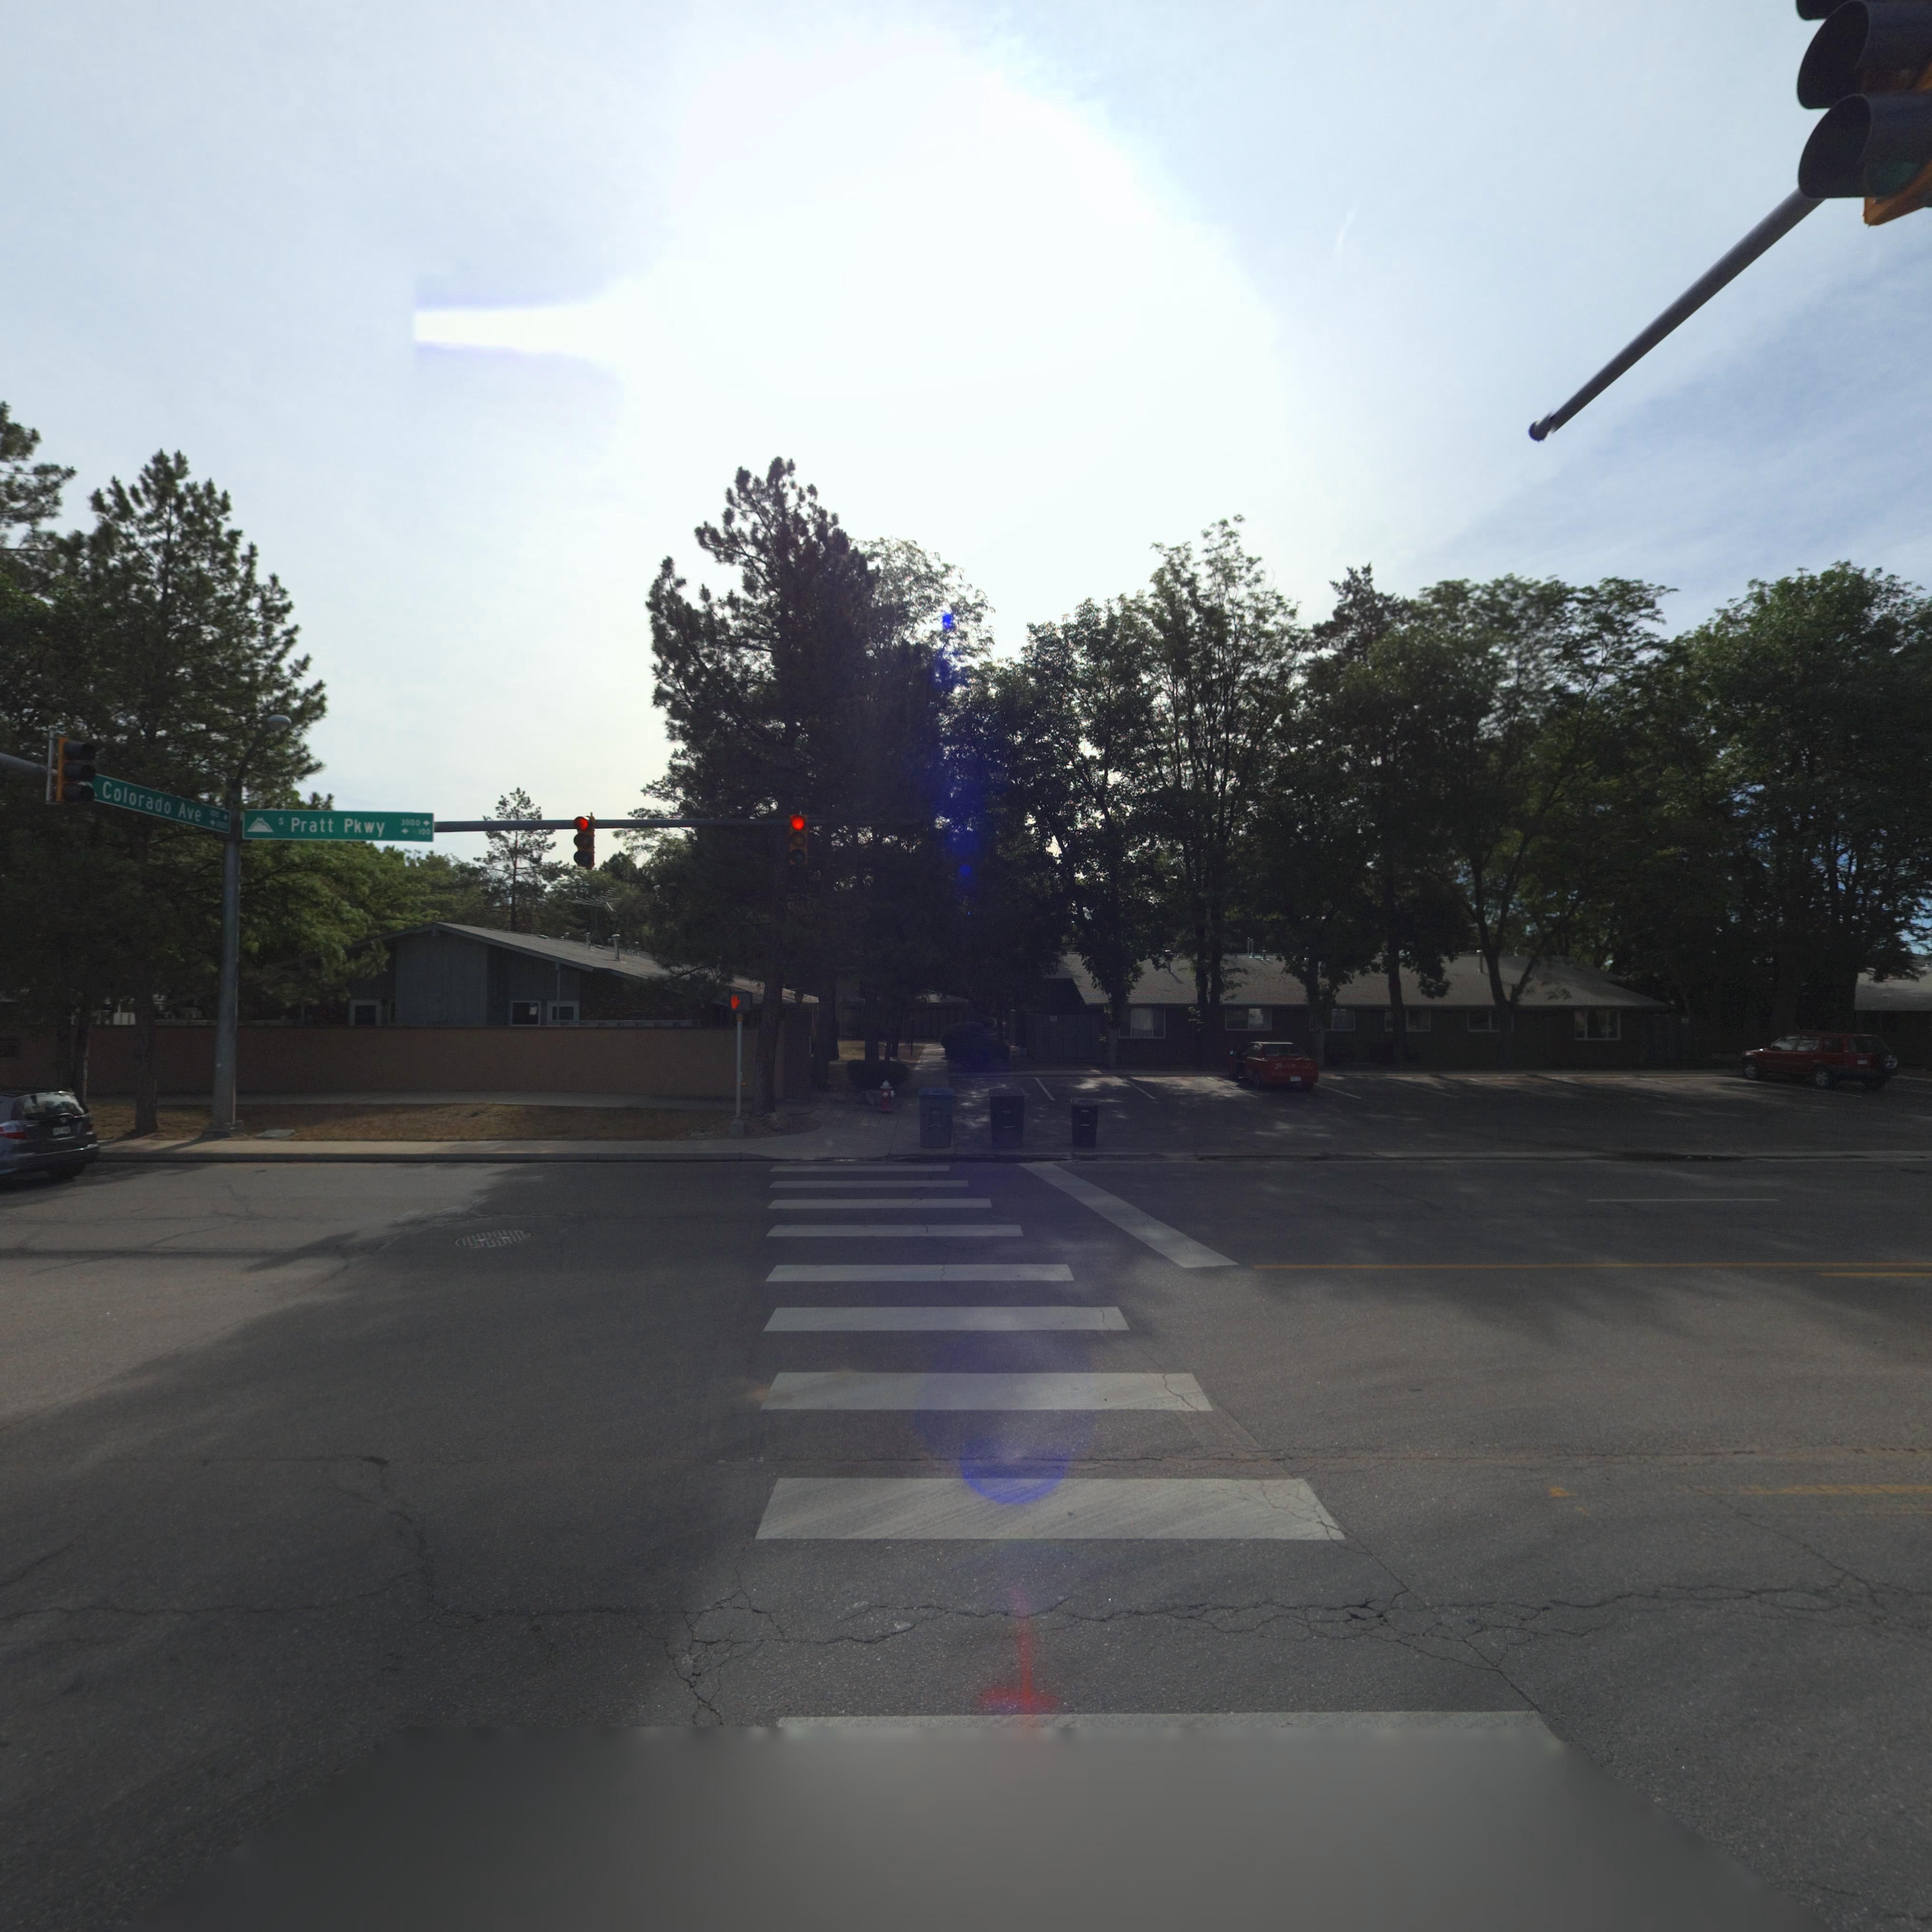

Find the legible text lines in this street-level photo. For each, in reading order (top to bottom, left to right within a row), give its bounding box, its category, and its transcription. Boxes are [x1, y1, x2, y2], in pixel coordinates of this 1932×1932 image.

[102, 780, 202, 821] StreetName: Colorado Ave
[208, 817, 228, 830] StreetNumberRange: <-1000
[278, 816, 385, 837] StreetName: s Pratt Pkwy
[400, 818, 430, 826] StreetNumberRange: 300->
[399, 826, 432, 836] StreetNumberRange: <- 100